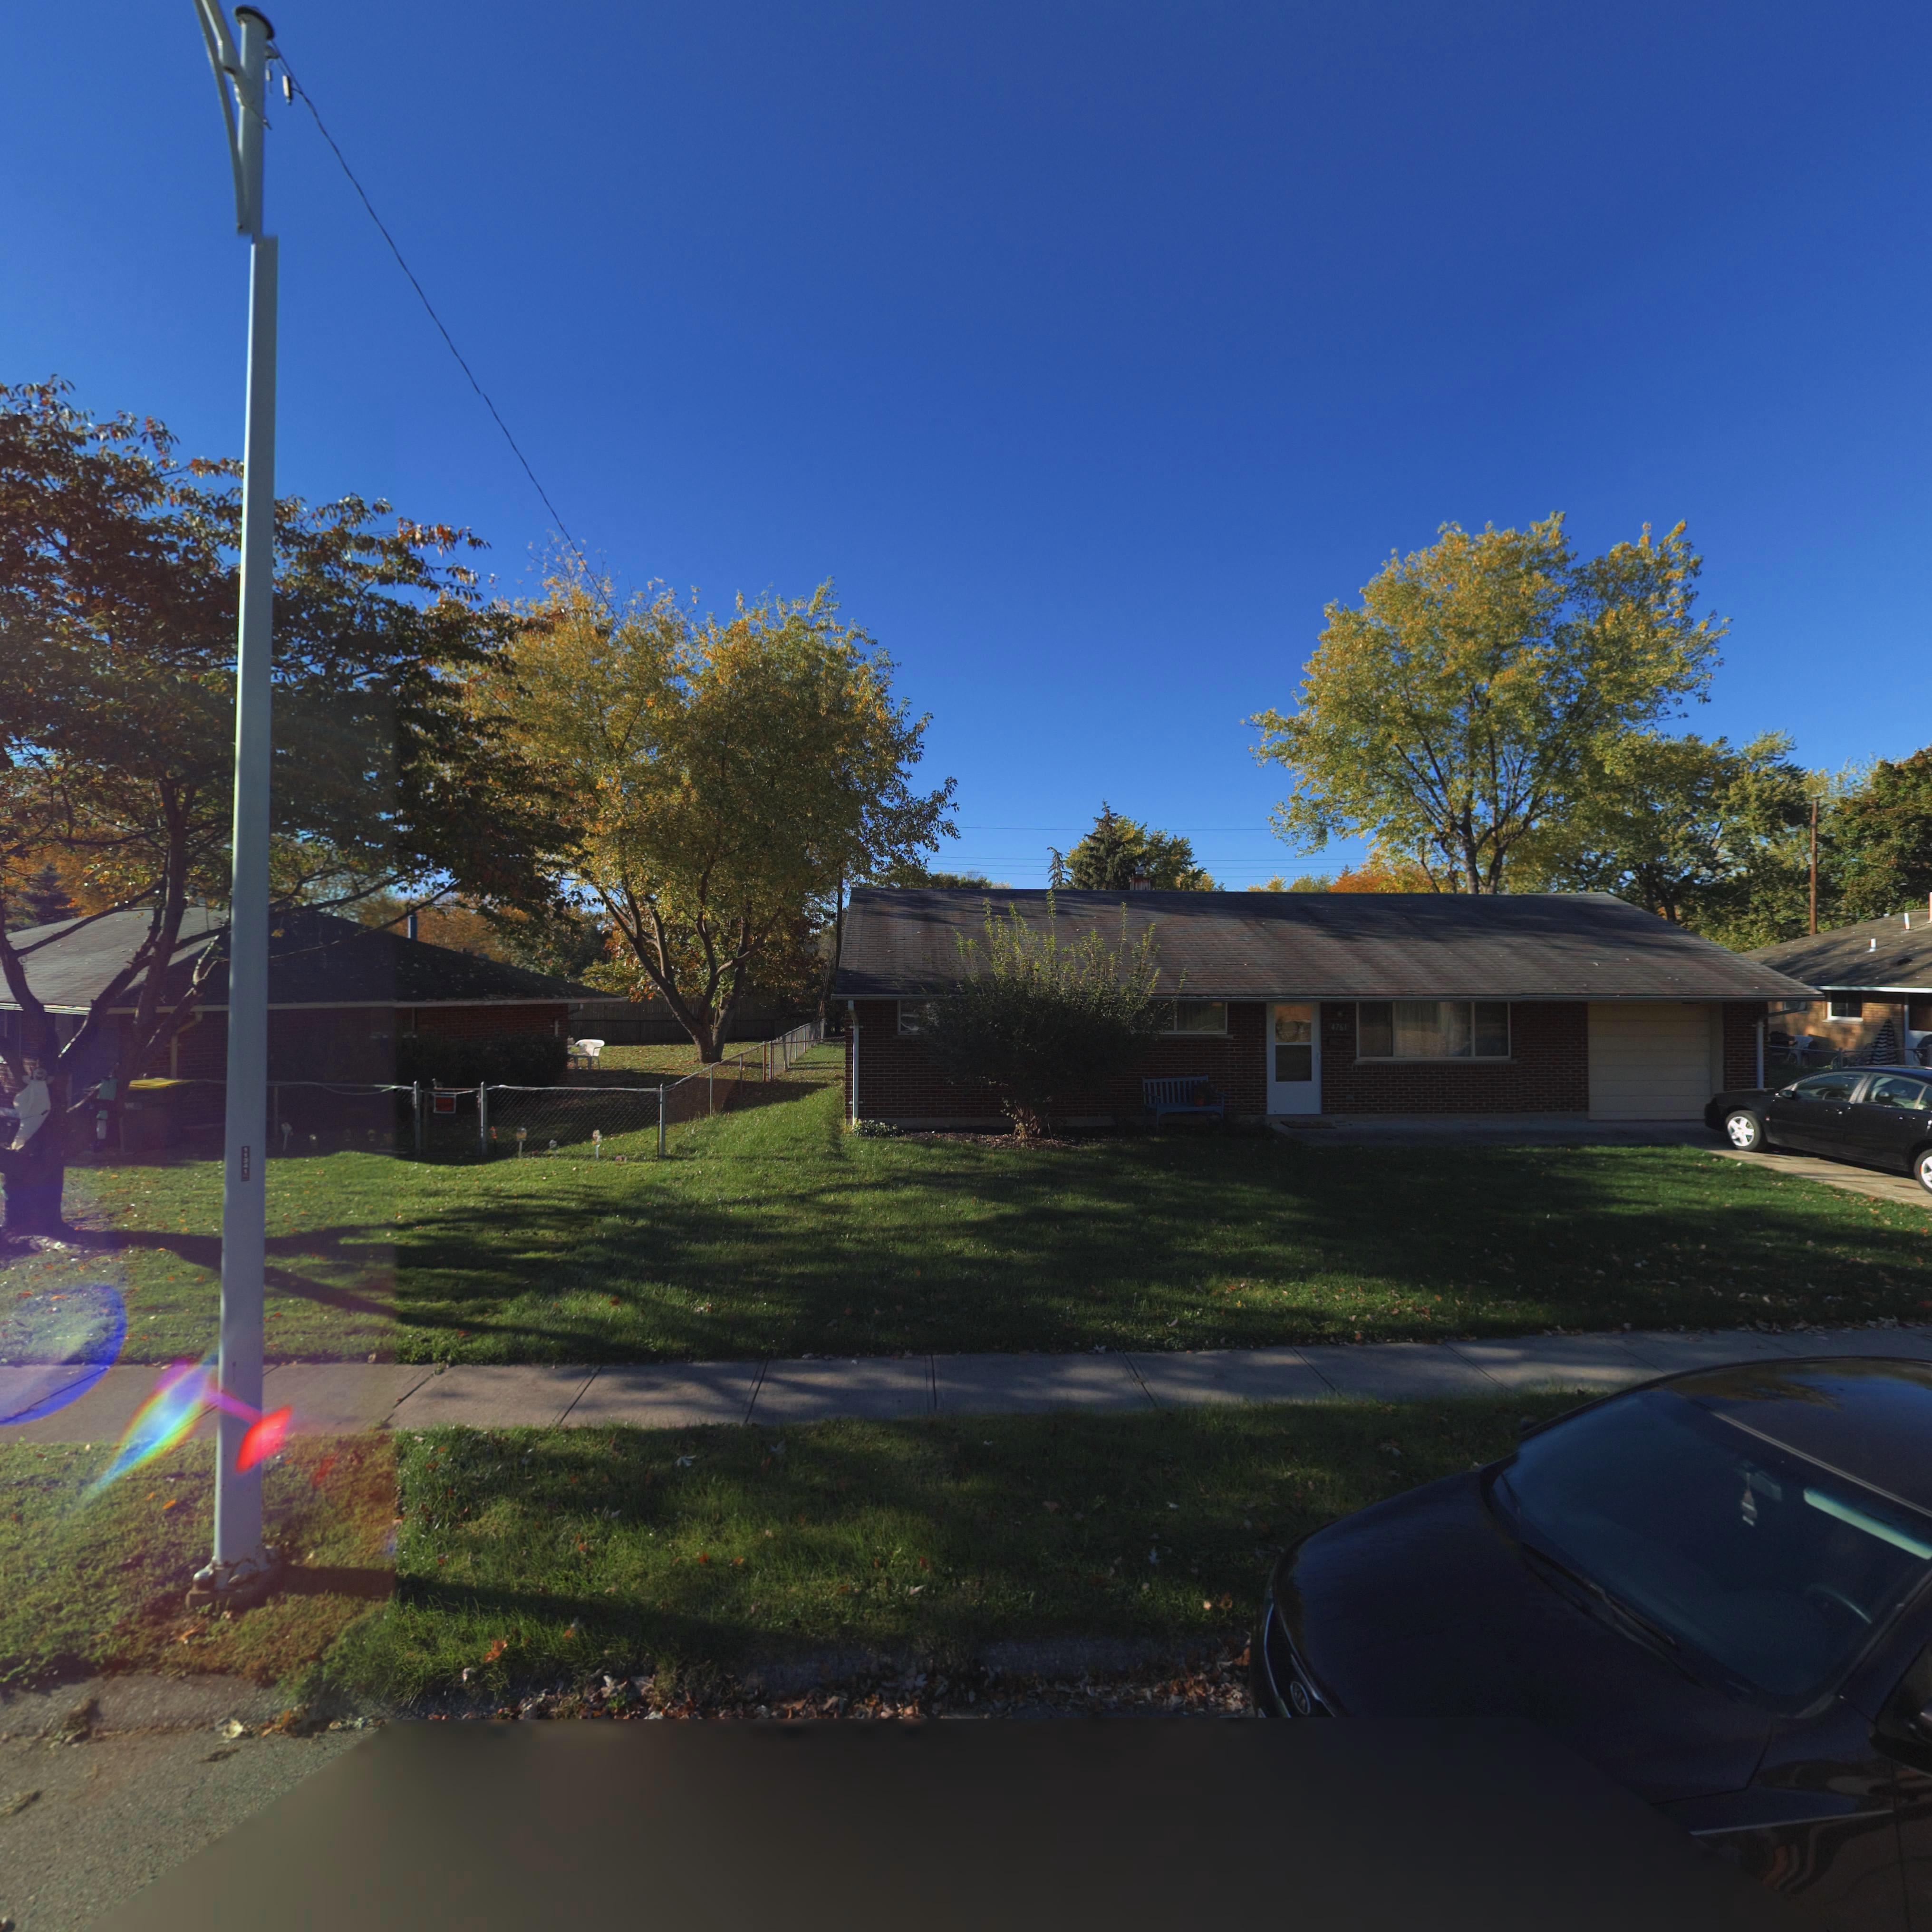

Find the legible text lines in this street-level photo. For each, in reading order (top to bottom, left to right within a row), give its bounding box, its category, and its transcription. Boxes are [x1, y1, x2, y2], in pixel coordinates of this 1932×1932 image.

[1330, 1022, 1348, 1032] StreetNumber: 4761